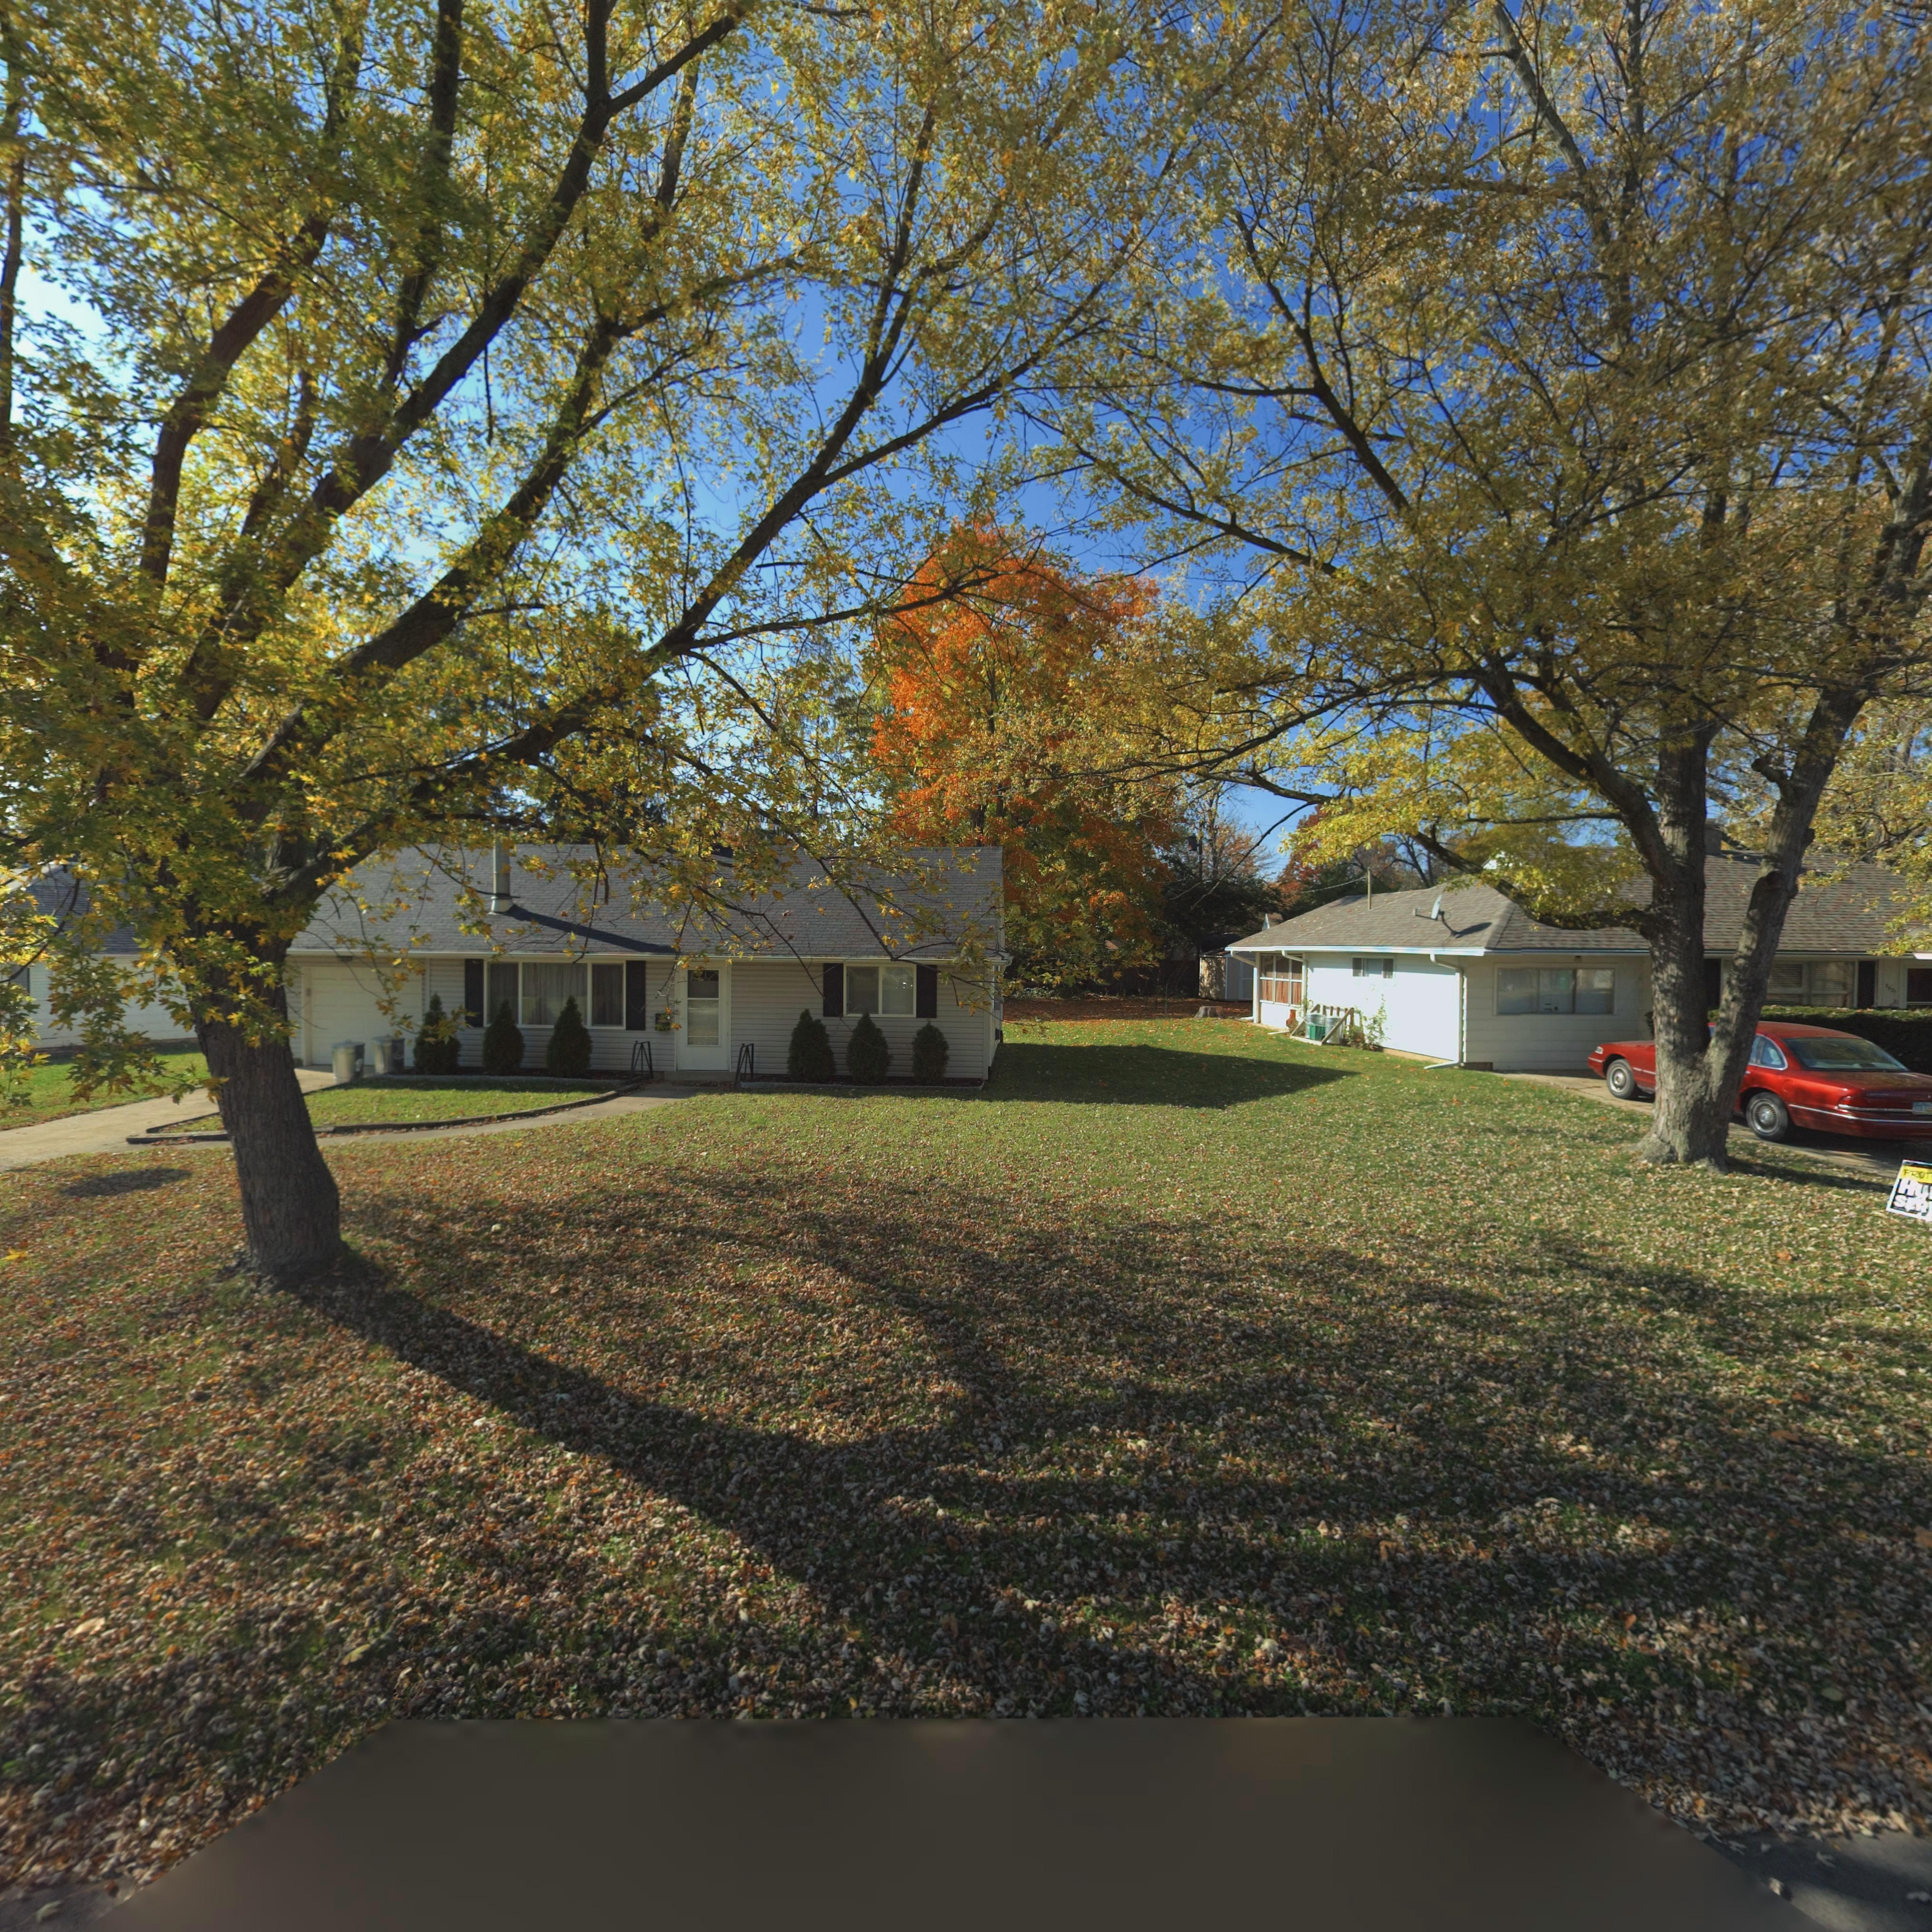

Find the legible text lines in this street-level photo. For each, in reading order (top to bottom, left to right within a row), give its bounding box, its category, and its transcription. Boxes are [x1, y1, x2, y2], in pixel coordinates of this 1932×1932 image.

[1903, 1169, 1932, 1179] None: PROT
[1896, 1178, 1930, 1200] None: Hu
[1892, 1193, 1929, 1215] None: SER